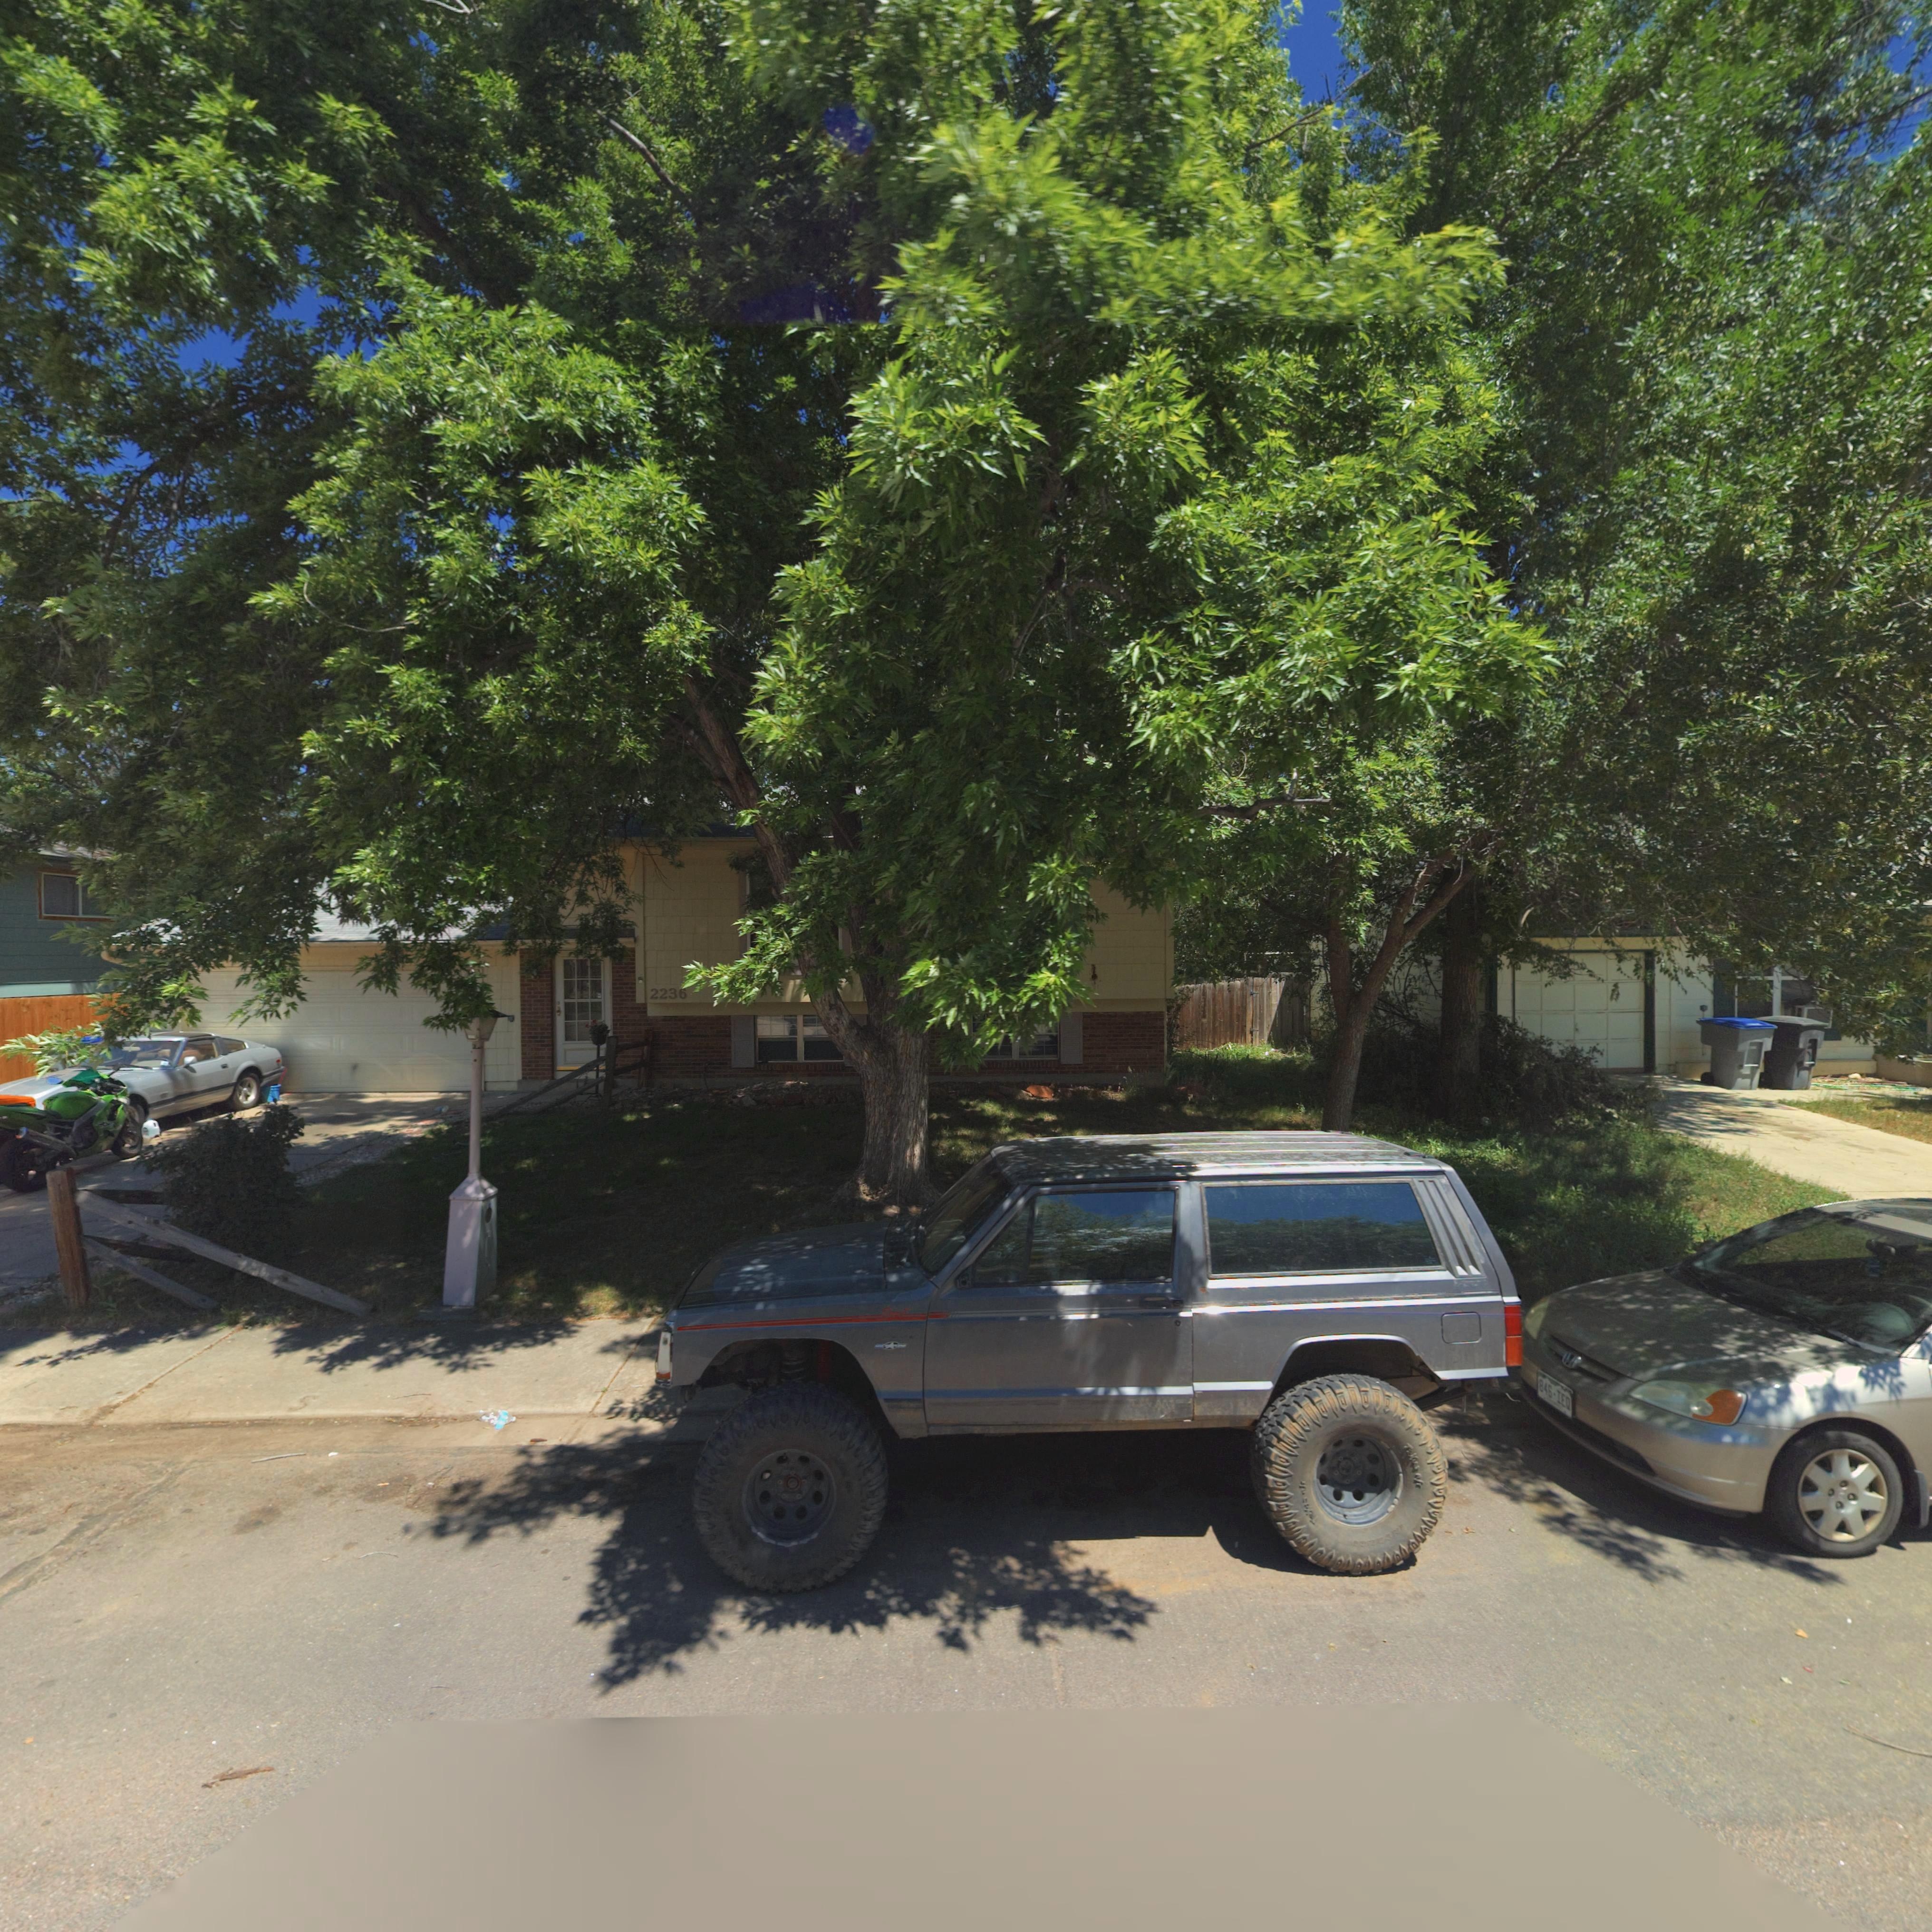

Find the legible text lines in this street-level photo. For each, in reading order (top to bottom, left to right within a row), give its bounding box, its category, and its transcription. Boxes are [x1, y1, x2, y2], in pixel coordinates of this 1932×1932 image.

[648, 986, 687, 999] StreetNumber: 2236